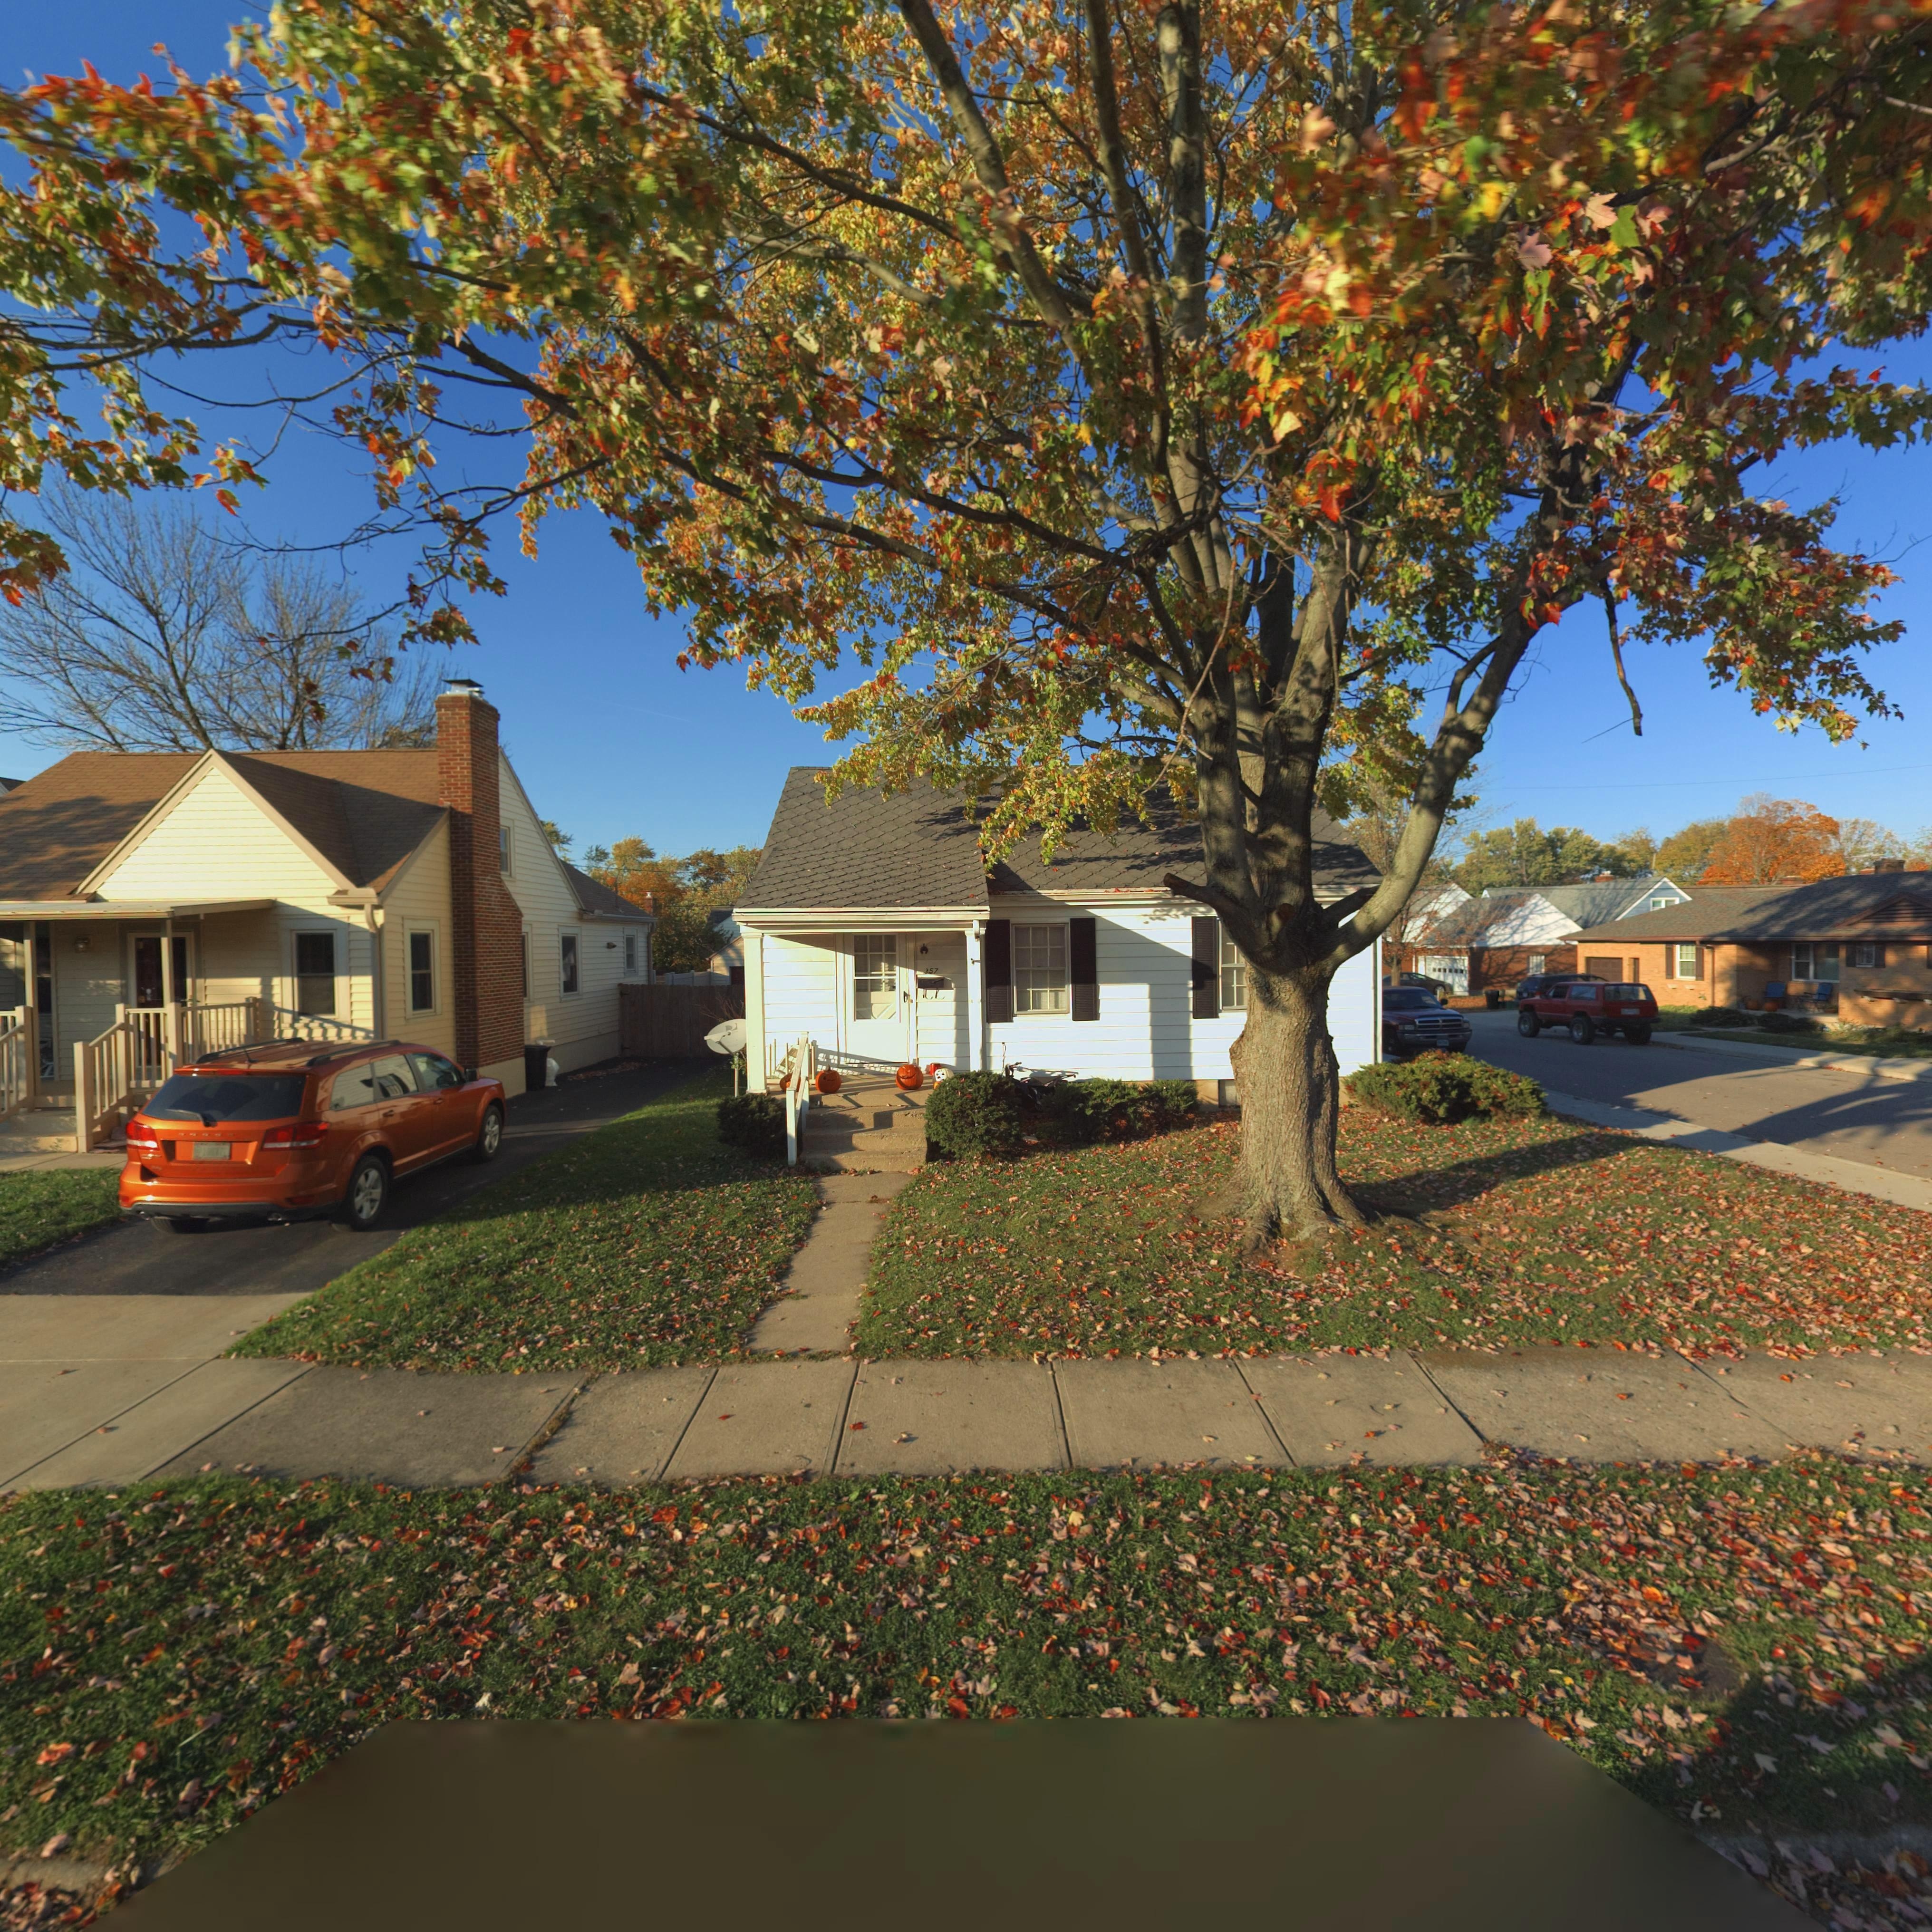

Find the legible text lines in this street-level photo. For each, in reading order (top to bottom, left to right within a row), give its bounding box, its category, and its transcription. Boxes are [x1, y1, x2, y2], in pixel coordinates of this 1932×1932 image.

[923, 967, 940, 975] StreetNumber: 357